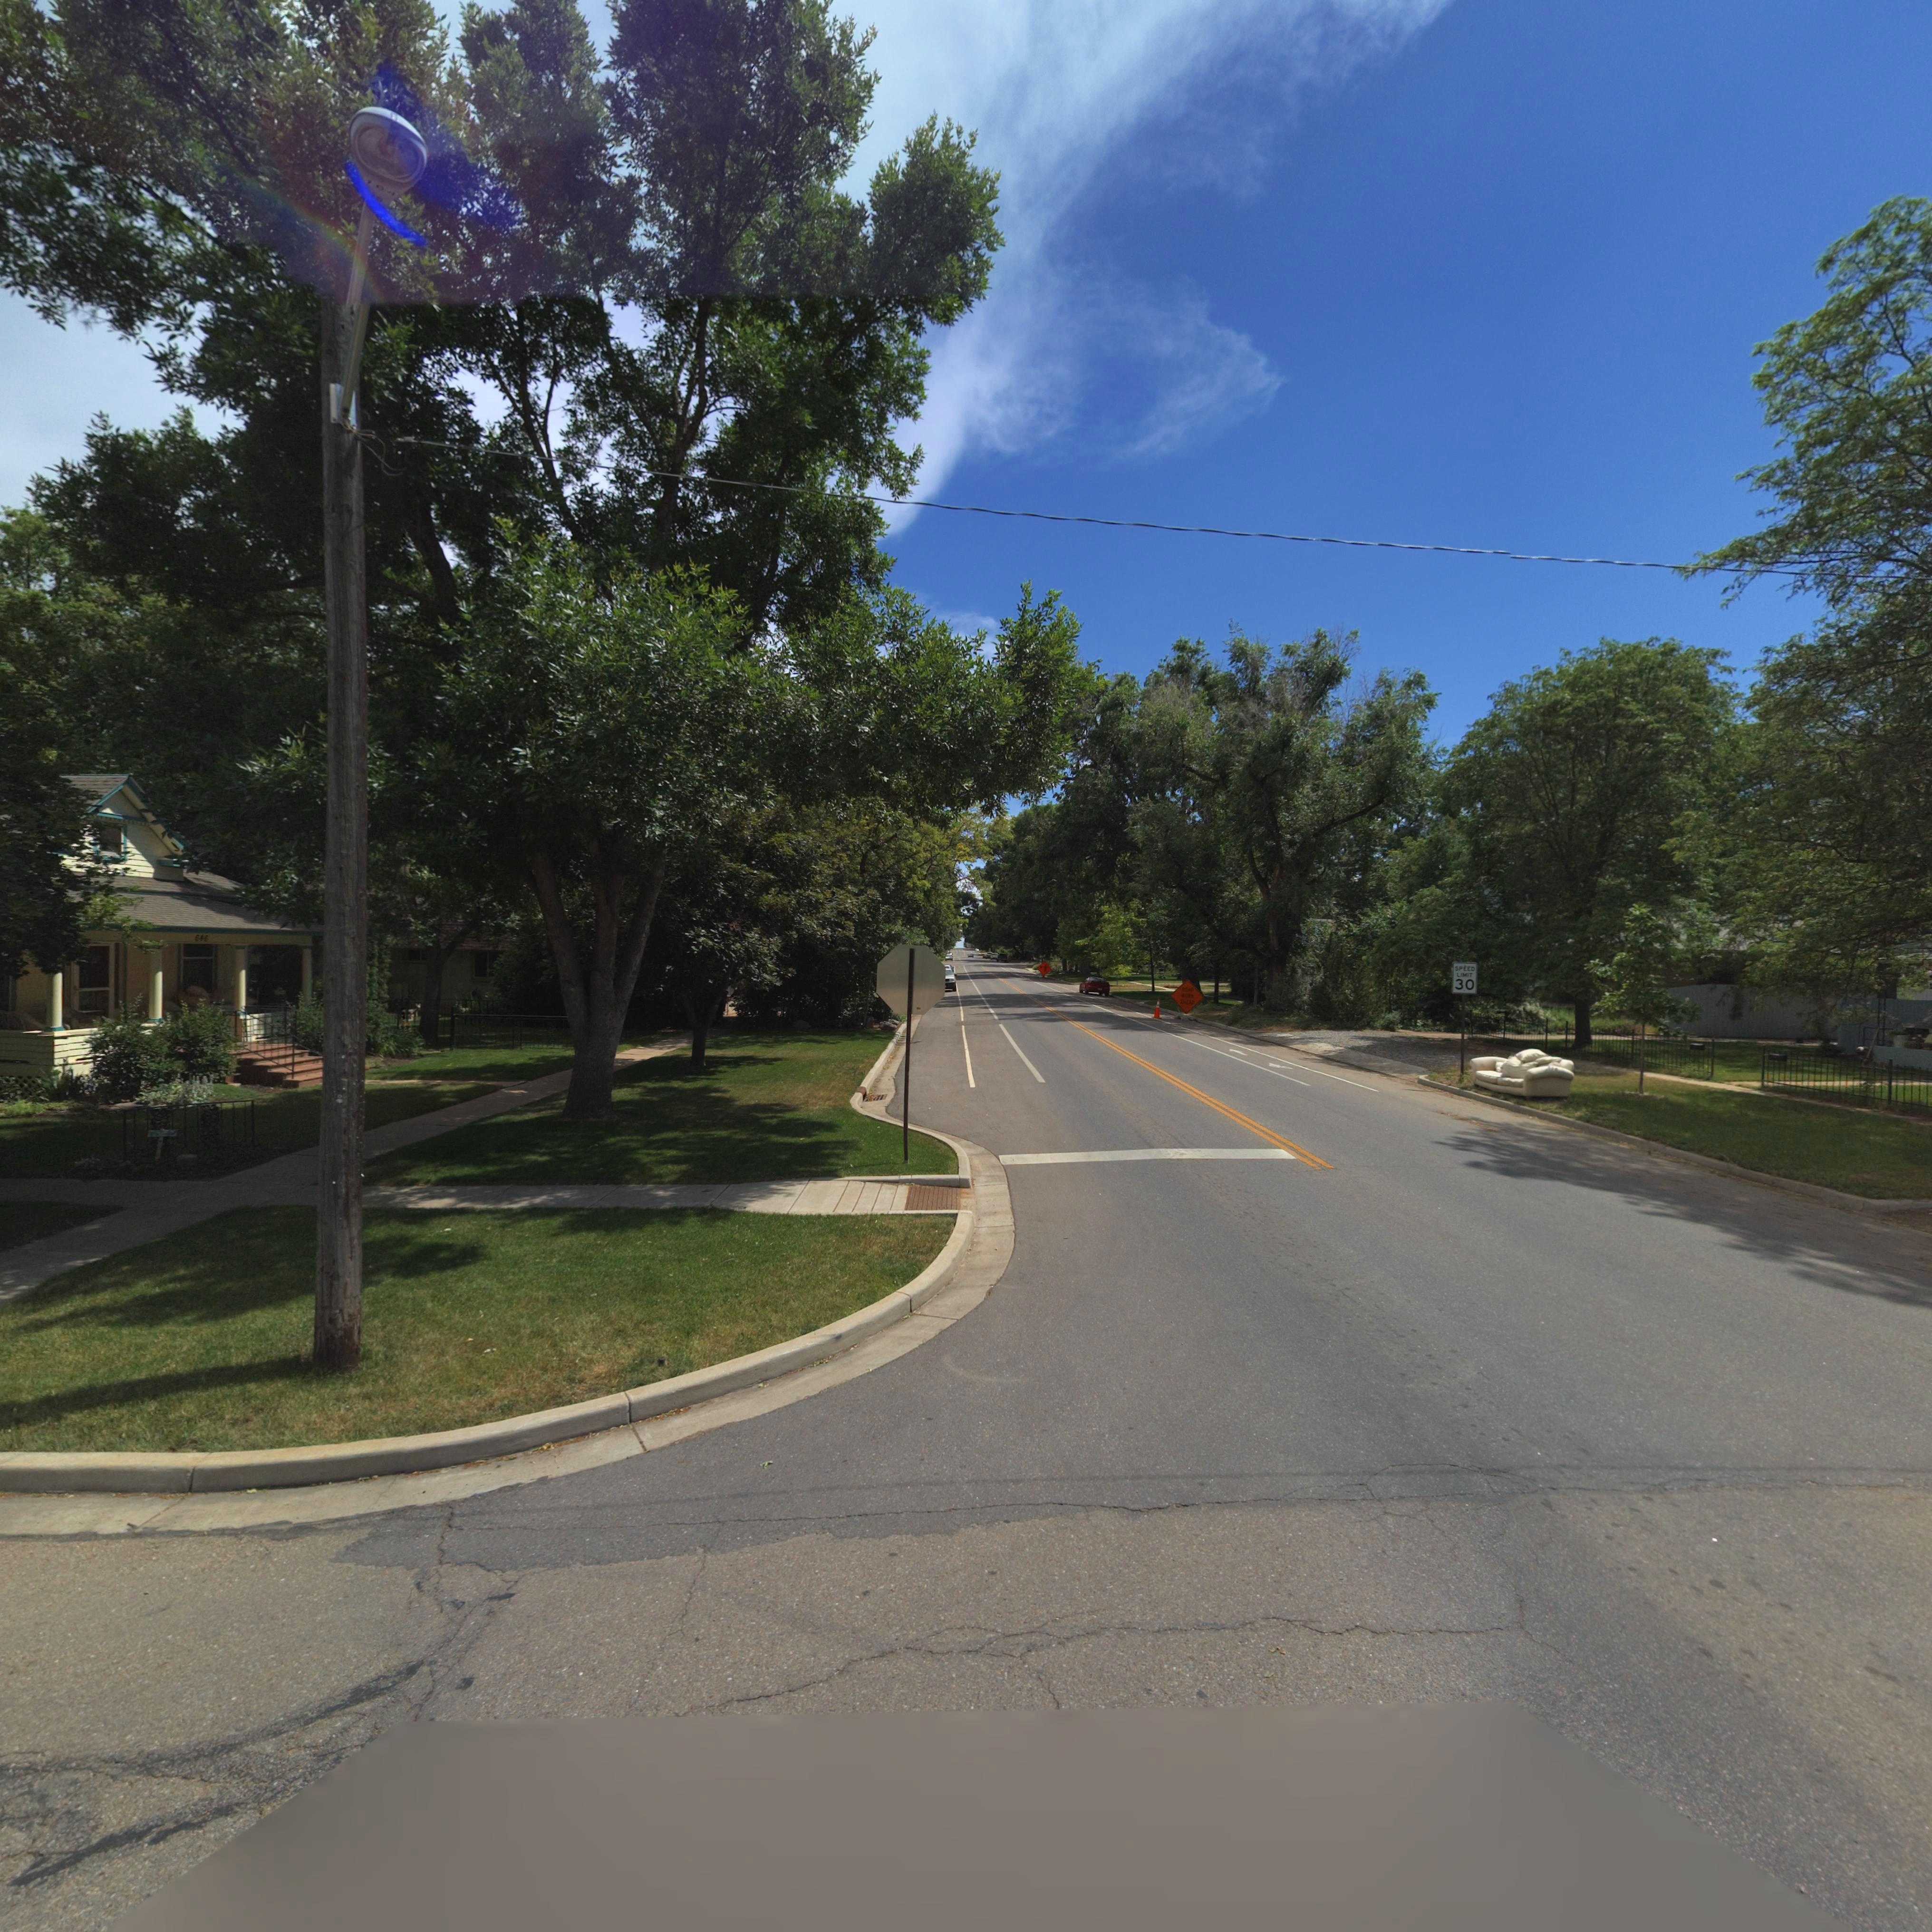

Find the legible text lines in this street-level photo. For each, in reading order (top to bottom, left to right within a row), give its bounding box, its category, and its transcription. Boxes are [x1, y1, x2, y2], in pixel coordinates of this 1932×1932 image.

[194, 933, 209, 942] StreetNumber: 646